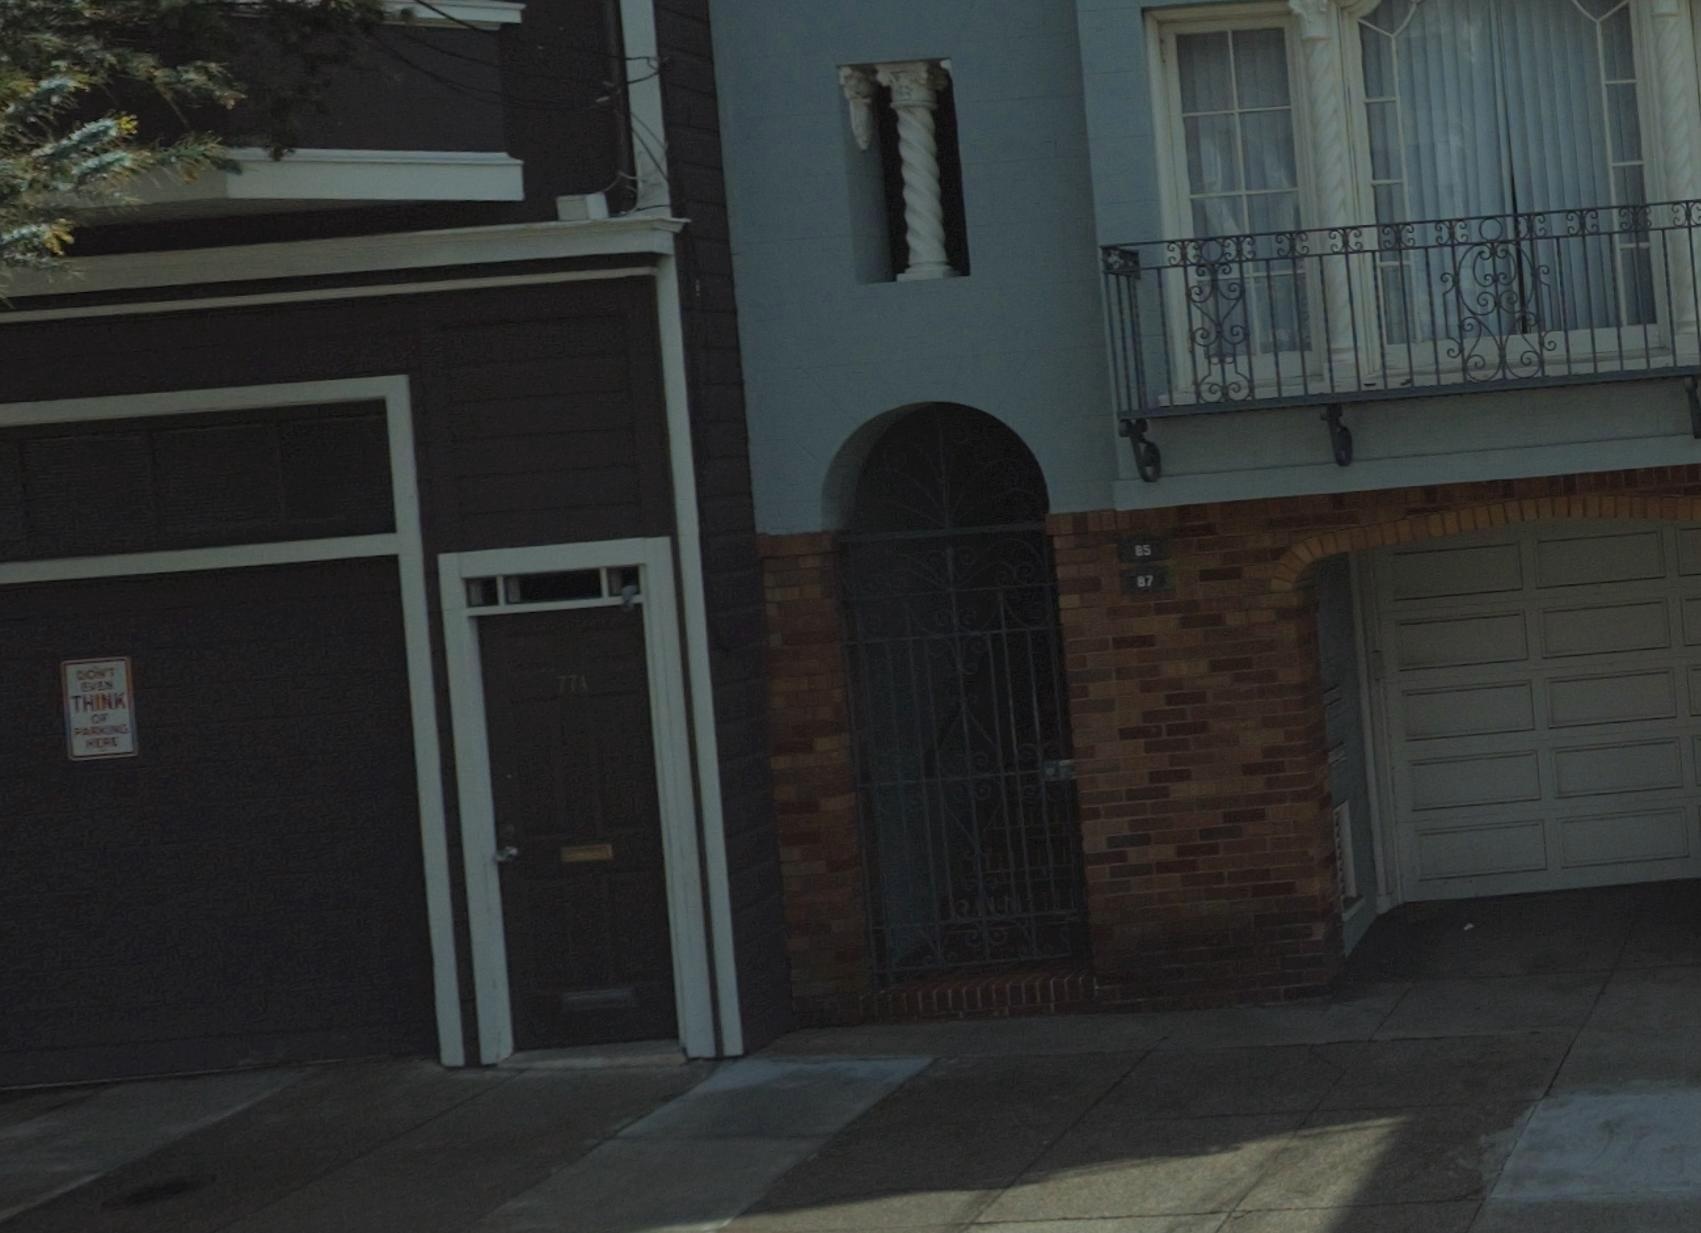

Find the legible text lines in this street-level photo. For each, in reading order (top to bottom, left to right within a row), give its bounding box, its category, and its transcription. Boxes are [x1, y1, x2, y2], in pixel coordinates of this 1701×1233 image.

[1132, 543, 1154, 558] StreetNumber: 85
[1134, 573, 1155, 589] StreetNumber: 87
[74, 664, 116, 681] None: DON'T
[77, 678, 116, 693] None: EVEN
[553, 672, 590, 695] StreetNumber: 77A
[67, 691, 128, 715] None: THINK
[88, 711, 110, 726] None: OF
[72, 722, 132, 739] None: PARKING
[83, 735, 121, 750] None: HERE